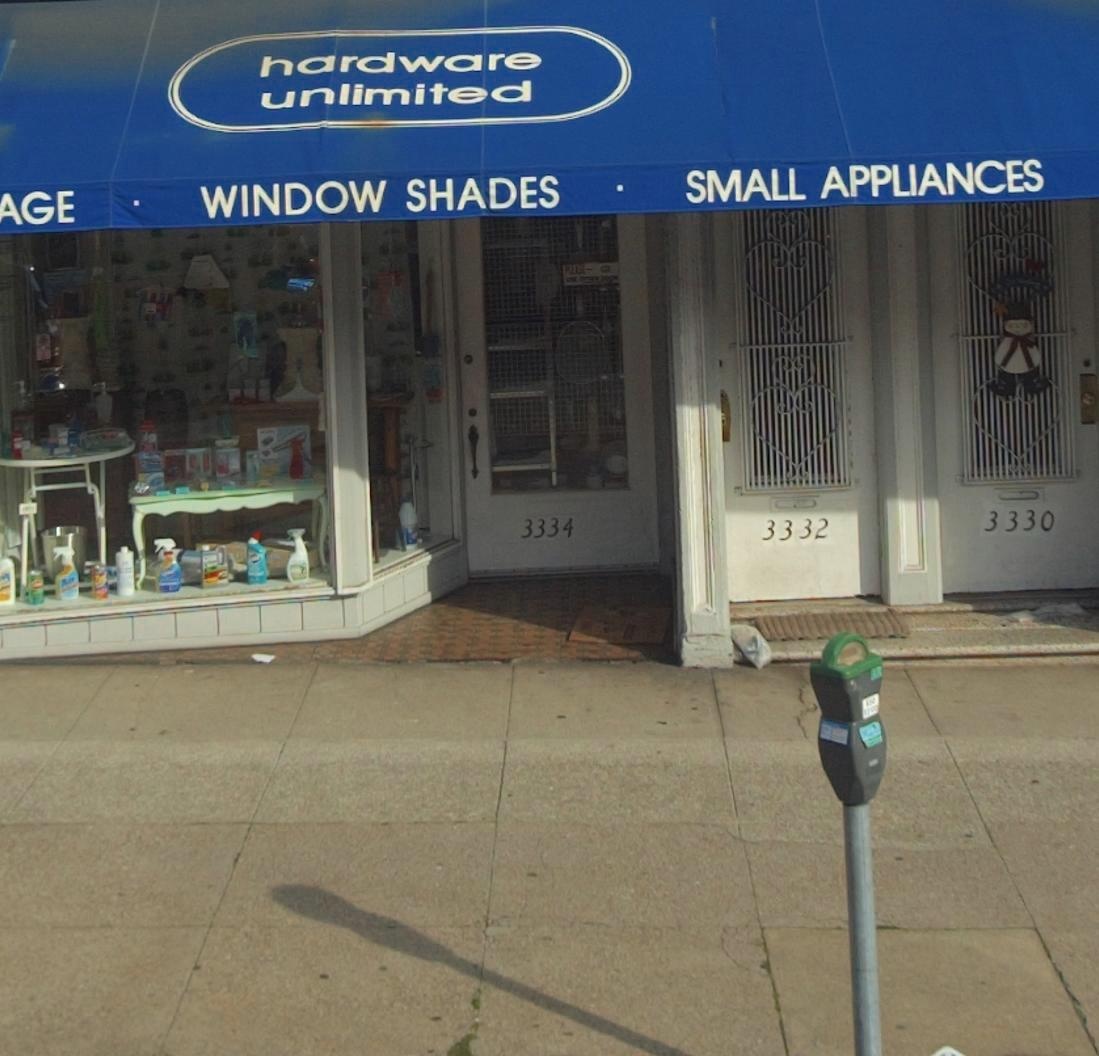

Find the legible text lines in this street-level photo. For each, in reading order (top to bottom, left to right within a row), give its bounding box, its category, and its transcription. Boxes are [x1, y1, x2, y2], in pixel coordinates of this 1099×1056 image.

[255, 49, 547, 82] BusinessName: hardware
[257, 77, 535, 113] BusinessName: unlimited
[16, 186, 78, 229] None: GE
[194, 171, 565, 223] None: WINDOW SHADES
[680, 155, 1049, 208] None: SMALL APPLIANCES
[519, 515, 576, 540] StreetNumber: 3334
[758, 514, 833, 544] StreetNumber: 3332
[979, 507, 1057, 535] StreetNumber: 3330